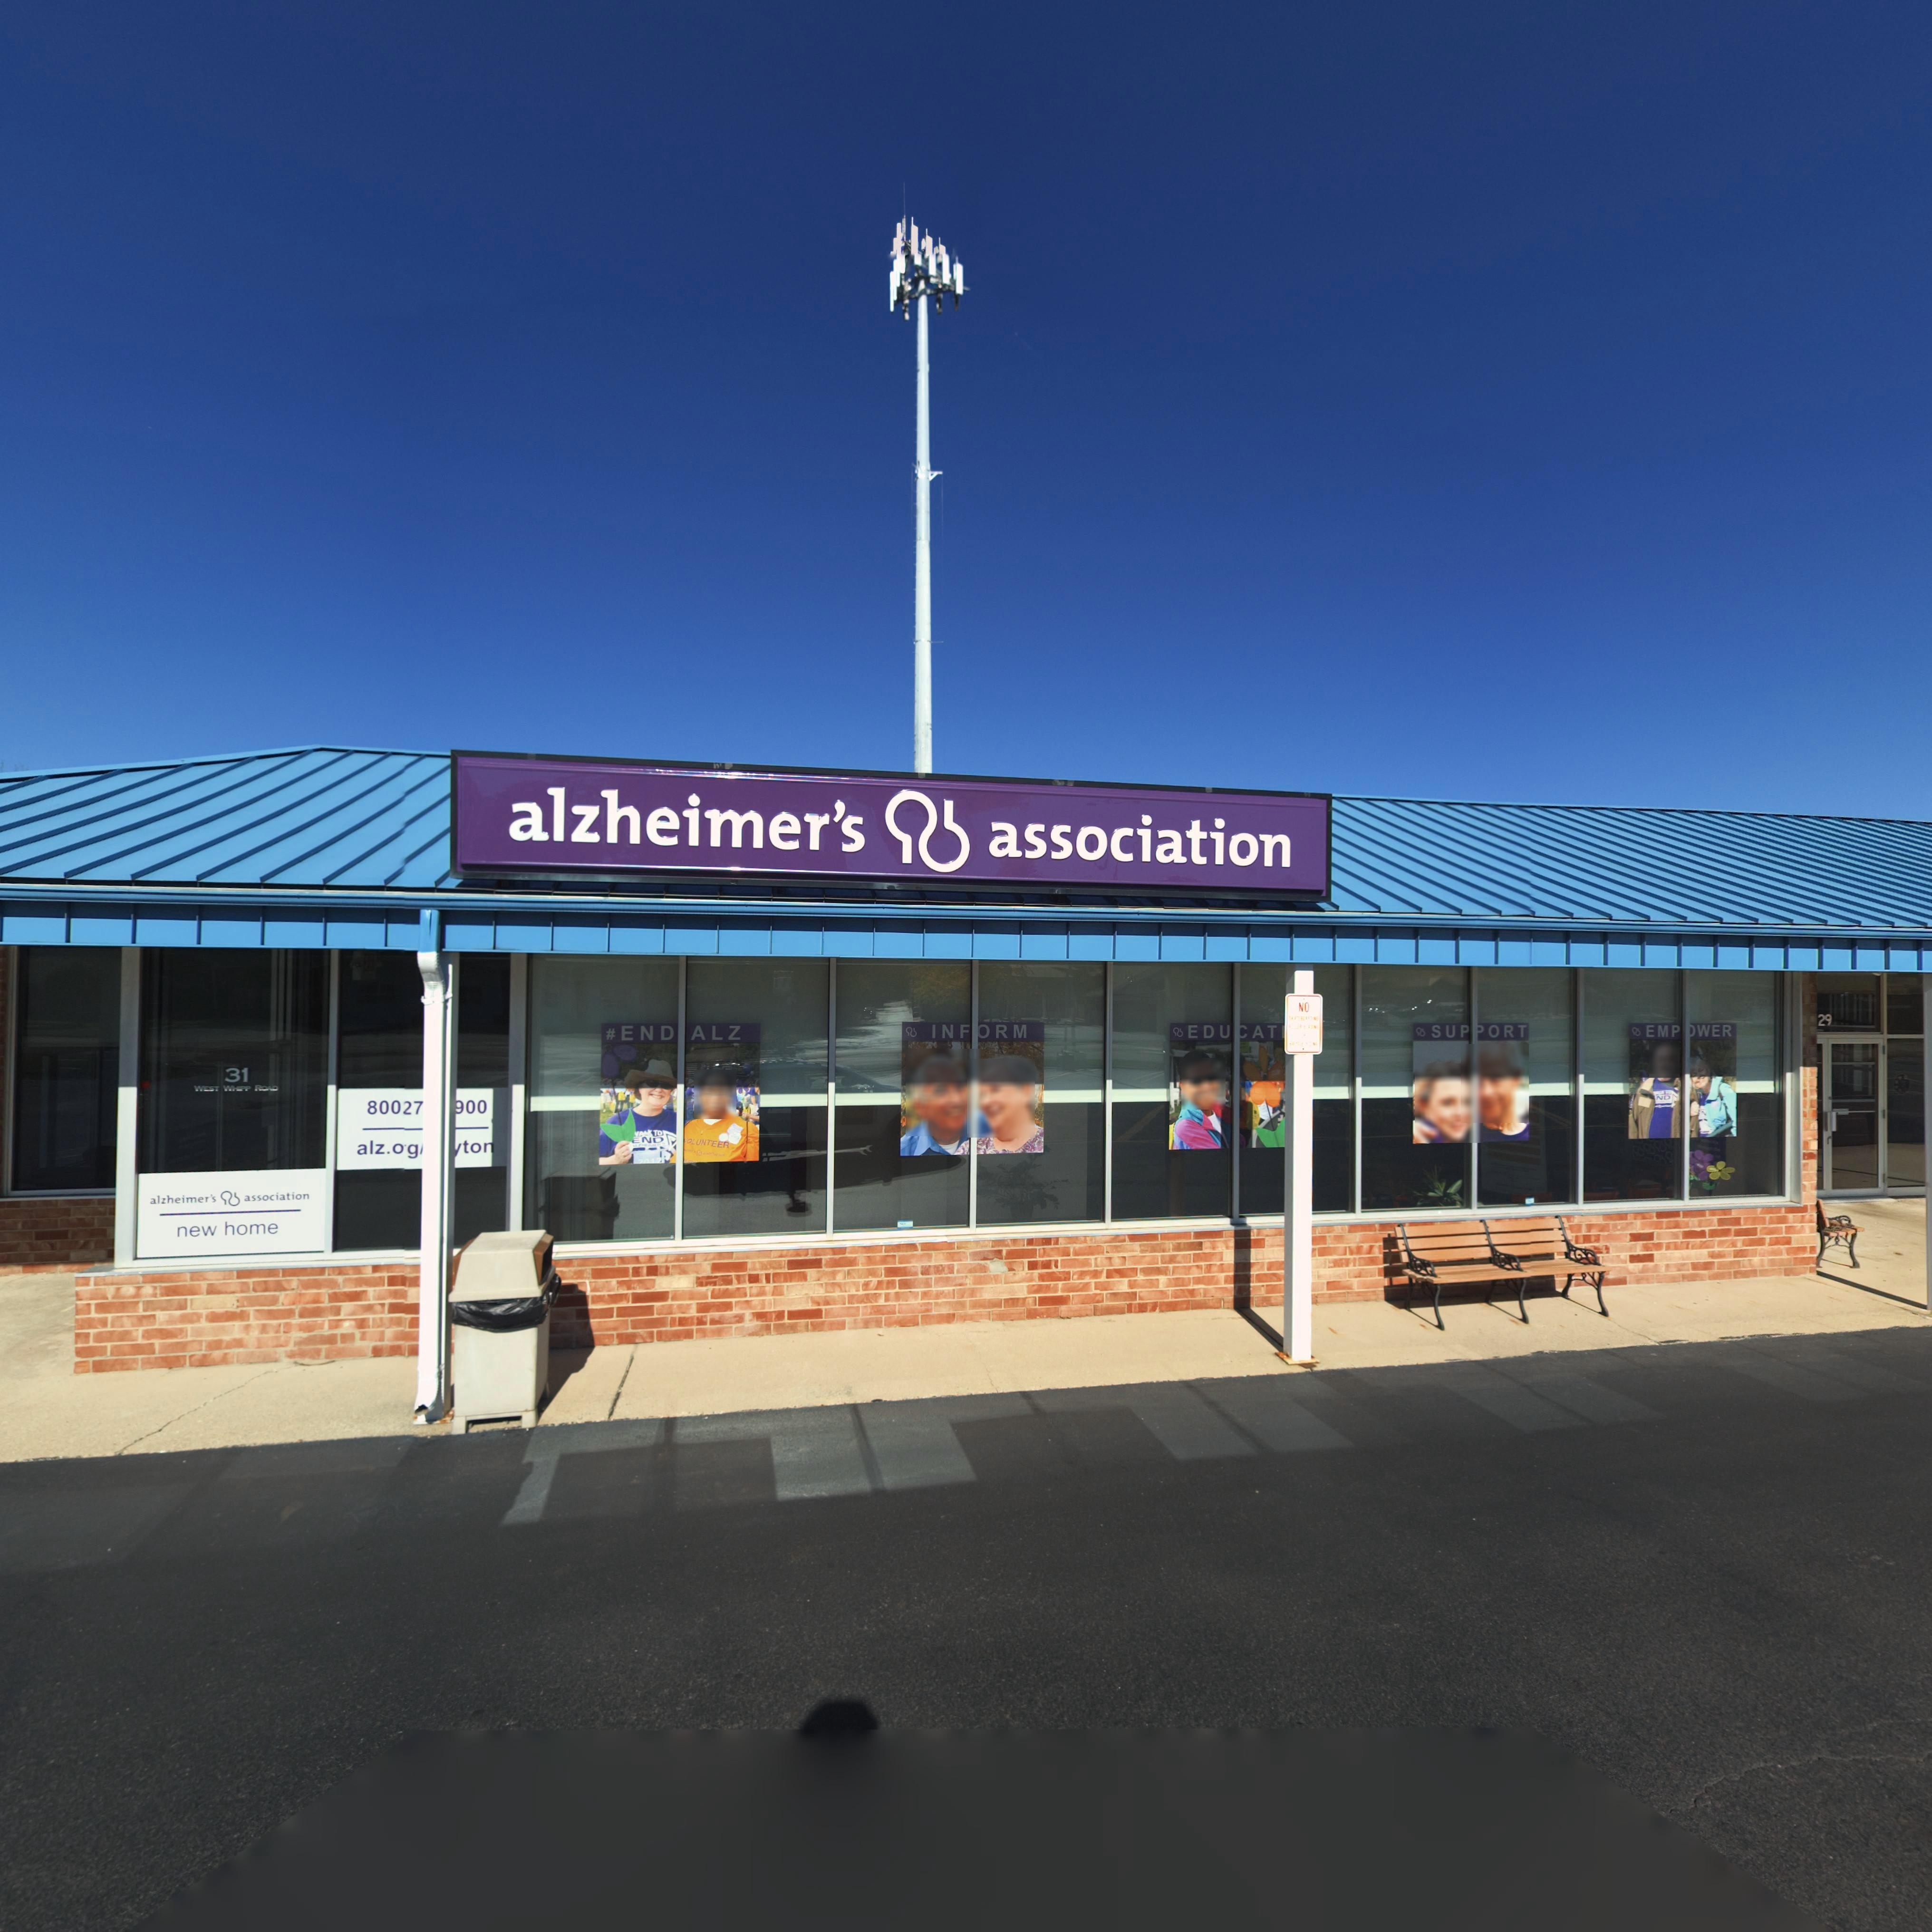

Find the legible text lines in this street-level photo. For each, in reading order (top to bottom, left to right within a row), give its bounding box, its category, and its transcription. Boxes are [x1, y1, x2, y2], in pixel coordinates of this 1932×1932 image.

[507, 784, 1294, 871] BusinessName: alzheimer's * association
[1298, 1001, 1310, 1013] None: NO
[1817, 1013, 1833, 1027] StreetNumber: 29
[619, 1024, 742, 1043] None: END*ALZ
[931, 1023, 1028, 1039] None: INFORM
[1187, 1024, 1278, 1040] None: EDU*AT
[1430, 1024, 1529, 1039] None: SUP*ORT
[1645, 1024, 1733, 1038] None: EMP*WER
[224, 1067, 249, 1083] StreetNumber: 31
[193, 1084, 280, 1092] StreetName: WEST WHIPP ROAD
[366, 1099, 488, 1117] None: 80027***900
[356, 1139, 495, 1159] None: alz.o*g****ton
[631, 1136, 665, 1144] None: END
[652, 1129, 663, 1137] None: TO
[685, 1138, 731, 1150] None: OLUNTEER
[149, 1191, 310, 1206] BusinessName: alzheimer's * association
[176, 1220, 280, 1238] None: new home